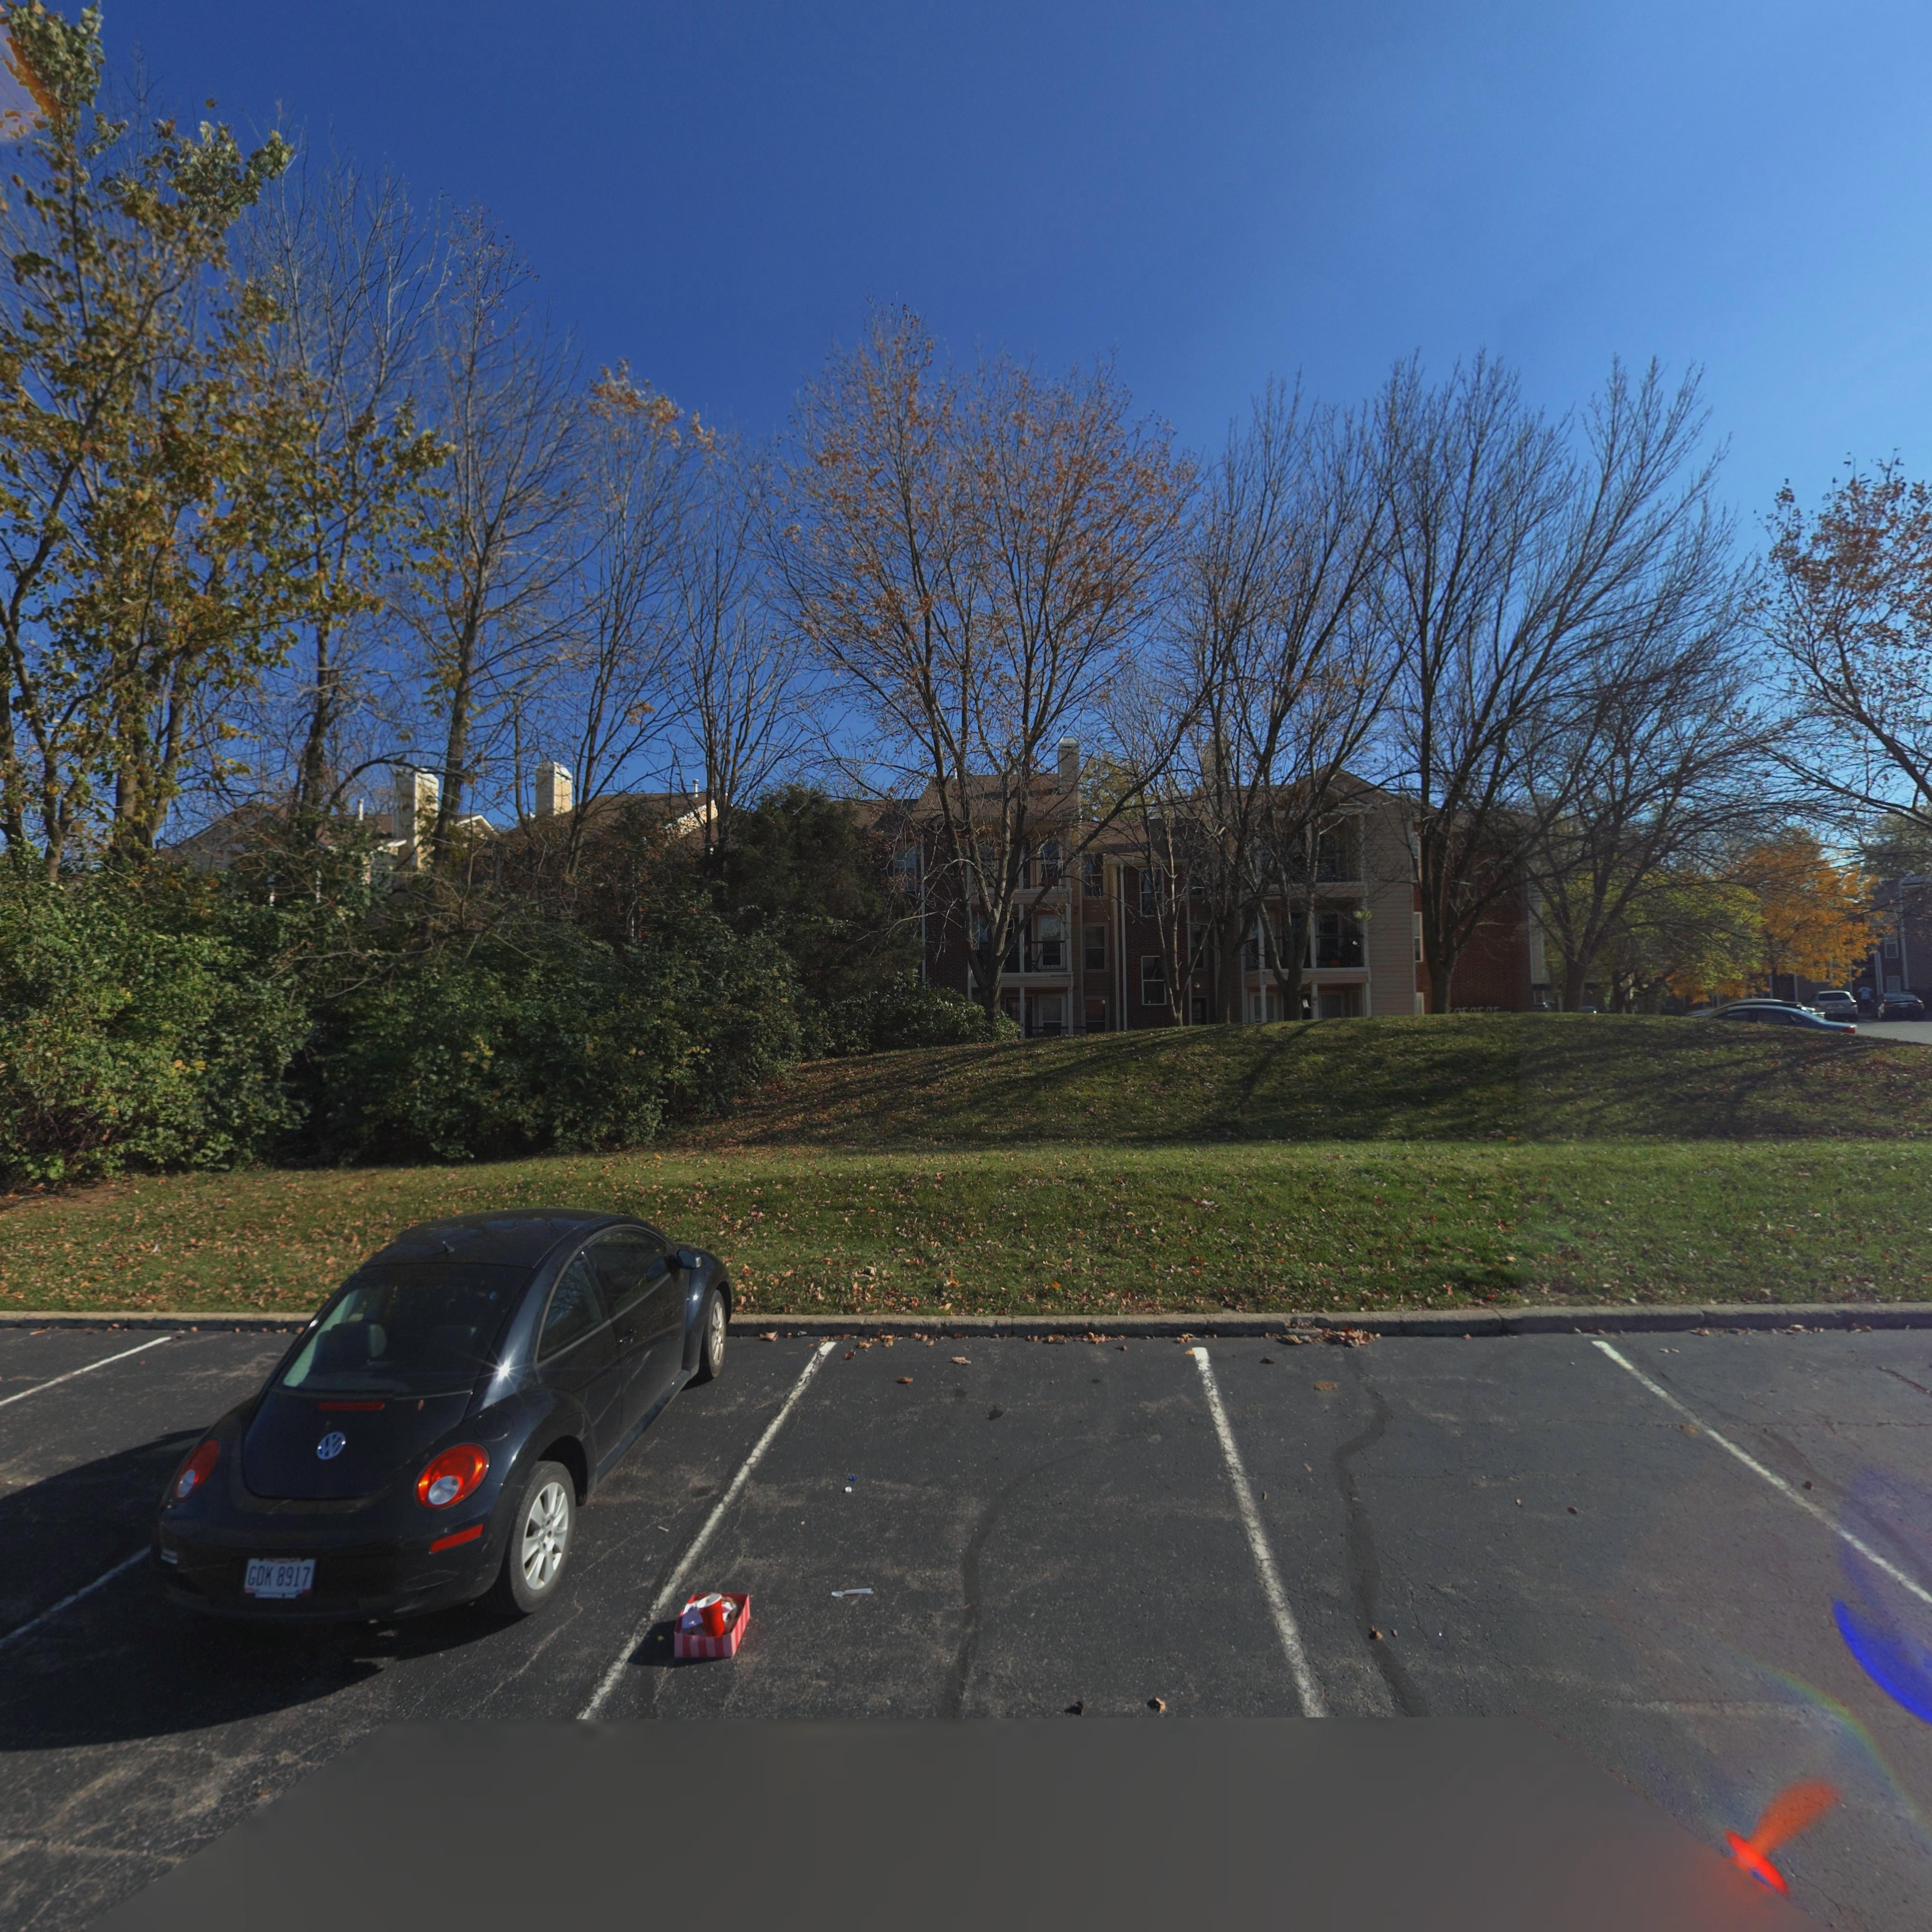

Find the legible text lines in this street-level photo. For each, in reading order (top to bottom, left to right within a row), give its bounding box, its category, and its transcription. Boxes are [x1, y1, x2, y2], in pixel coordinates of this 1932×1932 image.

[246, 1565, 313, 1587] None: GDK 8917